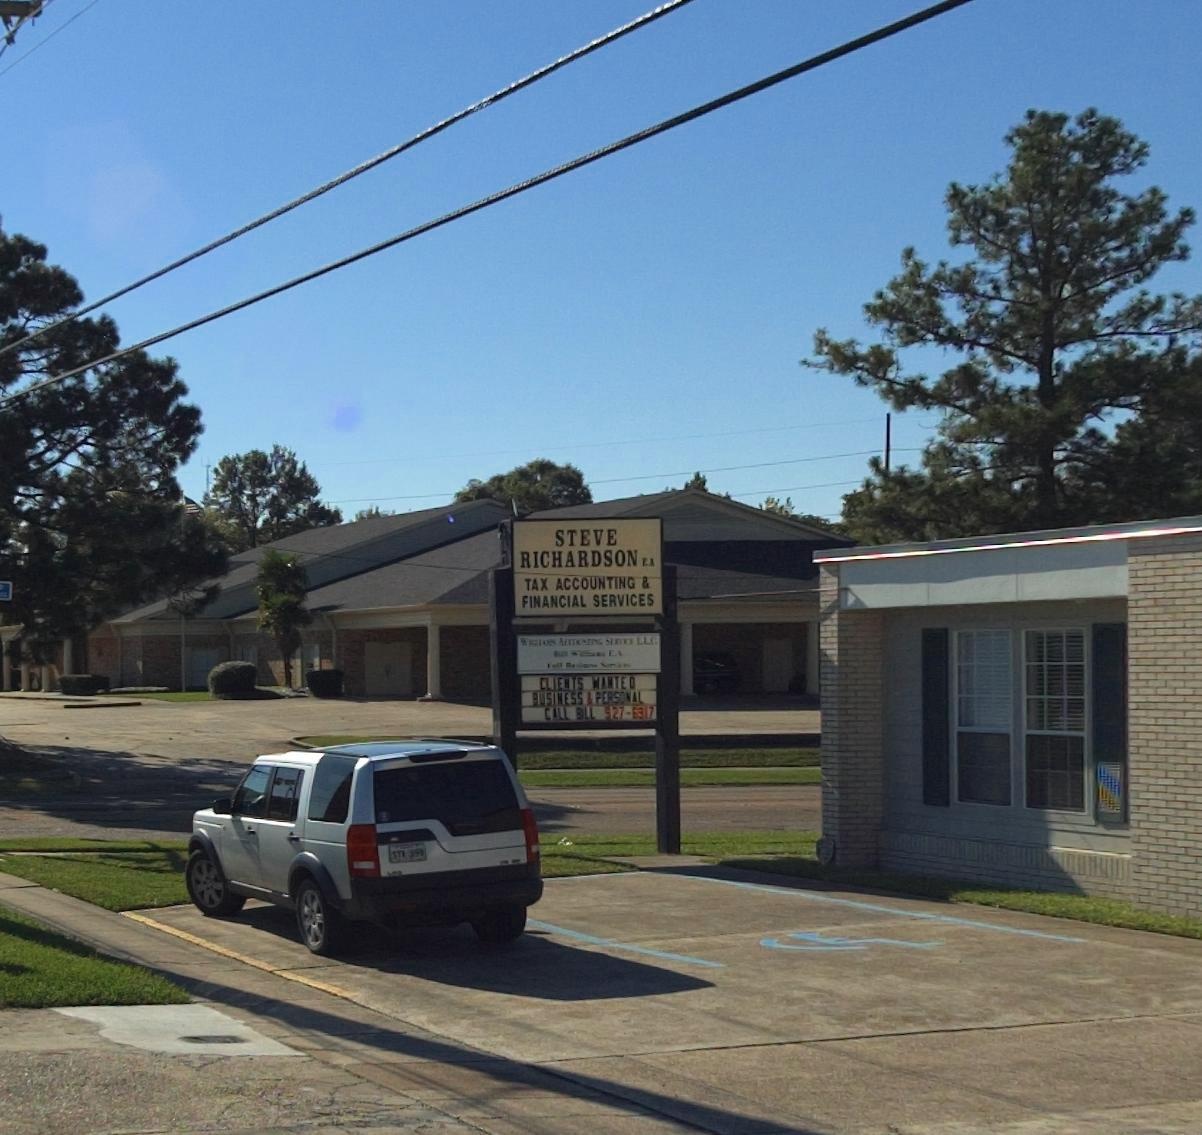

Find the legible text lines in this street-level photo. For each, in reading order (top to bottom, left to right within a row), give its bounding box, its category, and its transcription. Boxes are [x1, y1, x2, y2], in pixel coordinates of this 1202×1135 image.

[553, 526, 619, 549] BusinessName: STEVE
[517, 545, 658, 572] BusinessName: RICHARDSON EA
[522, 572, 639, 594] BusinessName: TAX ACCOUNTING
[519, 590, 657, 611] BusinessName: FINANCIAL SERVICES
[537, 673, 638, 694] None: CLIENTS WANTED
[529, 688, 646, 708] None: BUSINESS & PER**NAL
[542, 703, 656, 724] None: CALL B*LL 927-6917